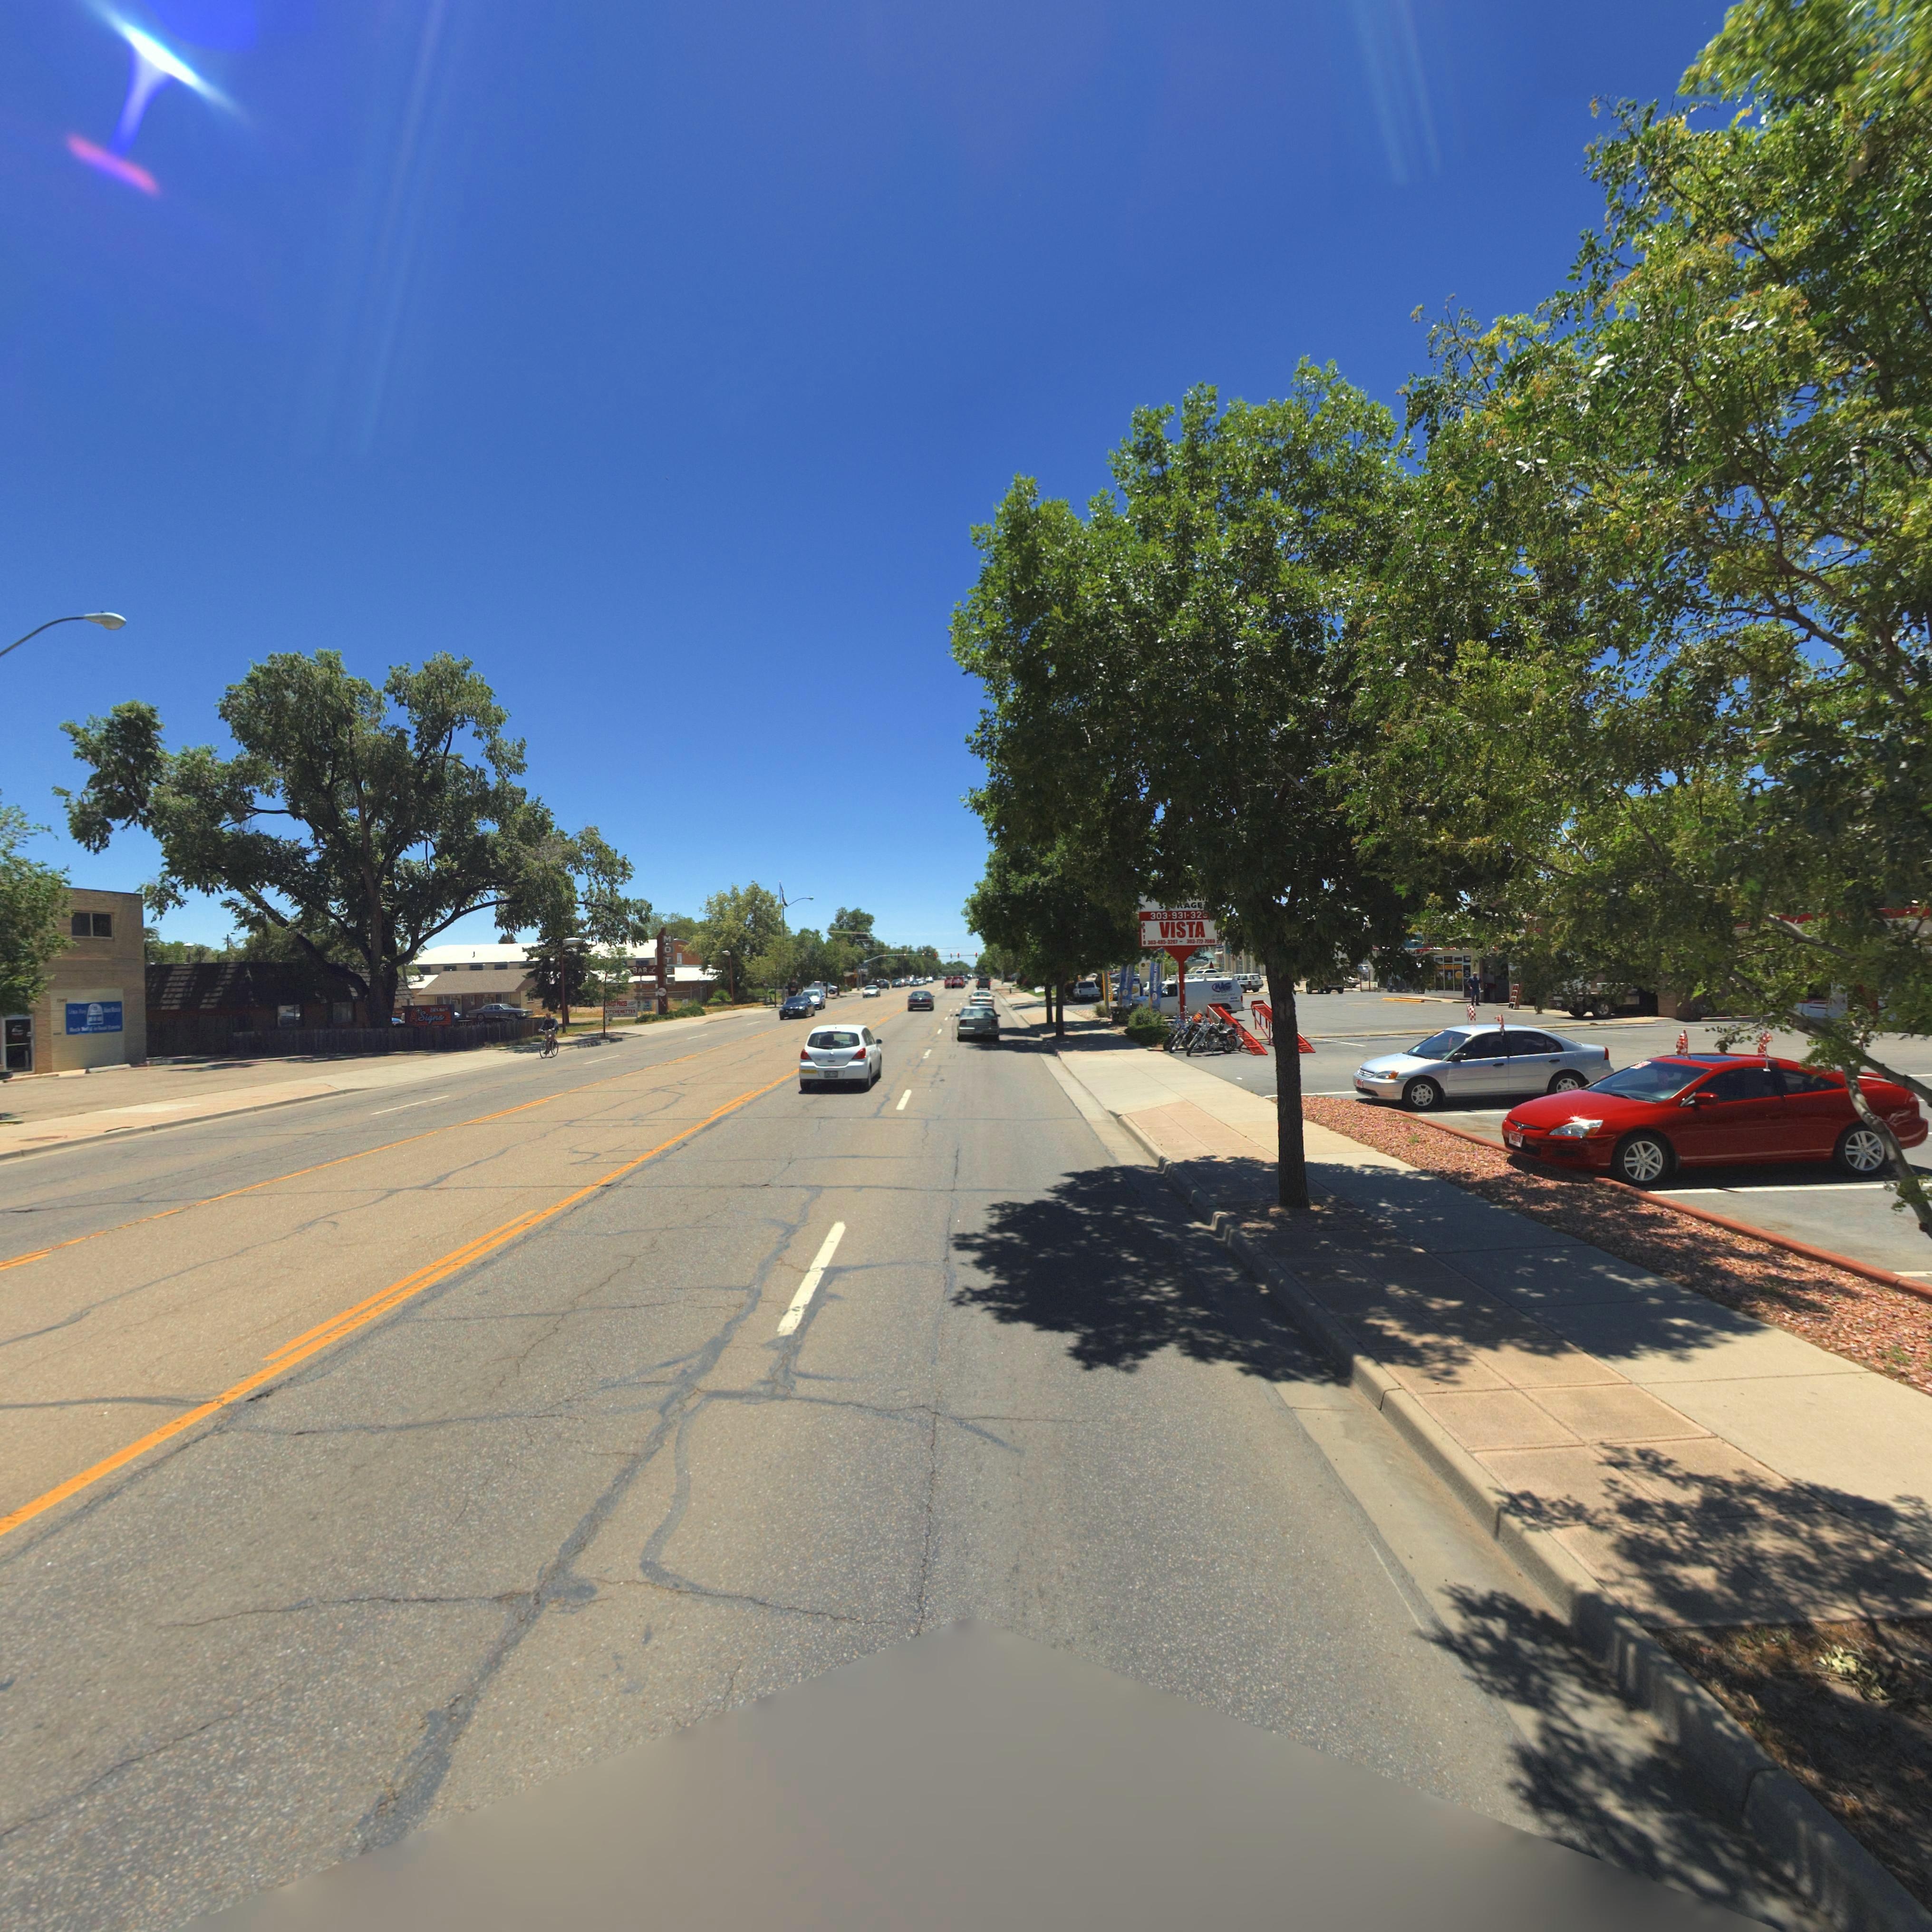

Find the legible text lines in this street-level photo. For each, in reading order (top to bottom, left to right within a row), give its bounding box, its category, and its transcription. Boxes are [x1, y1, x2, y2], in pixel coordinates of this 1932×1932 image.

[1142, 921, 1146, 945] BusinessName: AUTO
[1159, 921, 1206, 938] BusinessName: VISTA
[1216, 918, 1220, 944] BusinessName: **L*S
[56, 997, 68, 1003] StreetNumber: 1***
[409, 1007, 419, 1023] BusinessName: A
[418, 1010, 445, 1024] BusinessName: Signs